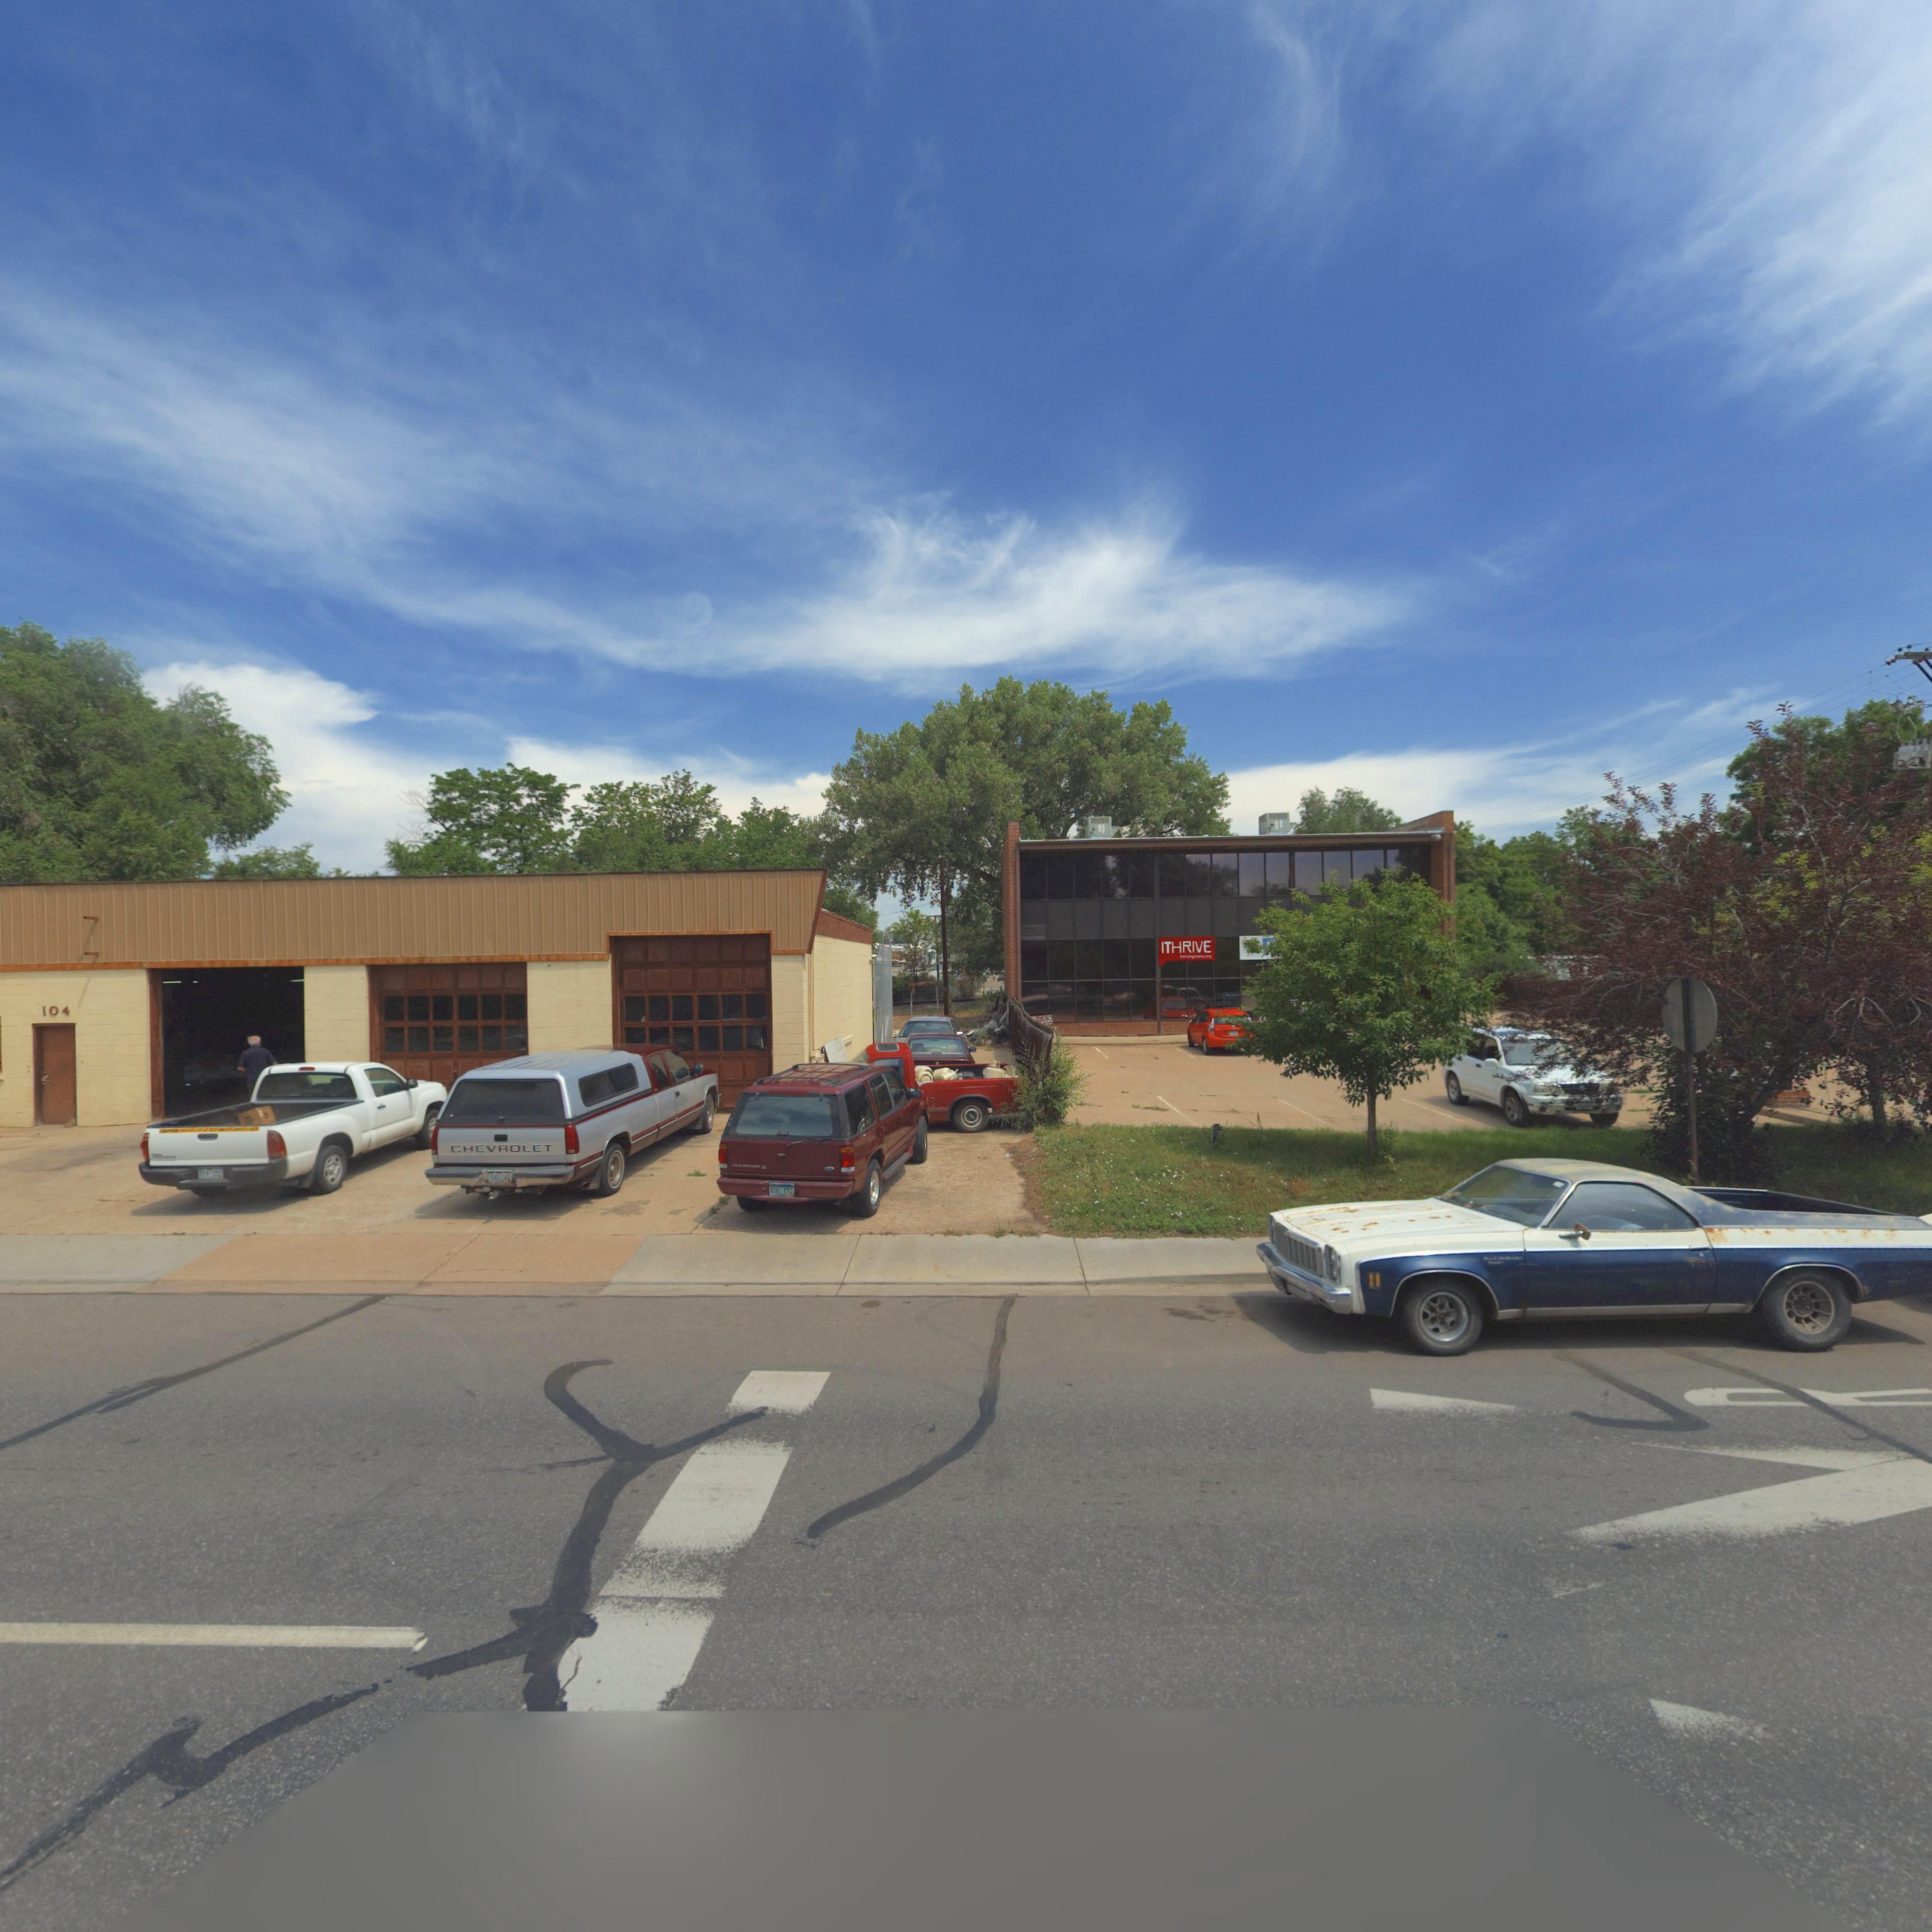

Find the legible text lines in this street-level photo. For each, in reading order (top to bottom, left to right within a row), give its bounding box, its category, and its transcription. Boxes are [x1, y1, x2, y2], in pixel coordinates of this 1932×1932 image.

[1161, 940, 1212, 954] BusinessName: ITHRIVE
[42, 1005, 71, 1015] StreetNumber: 104